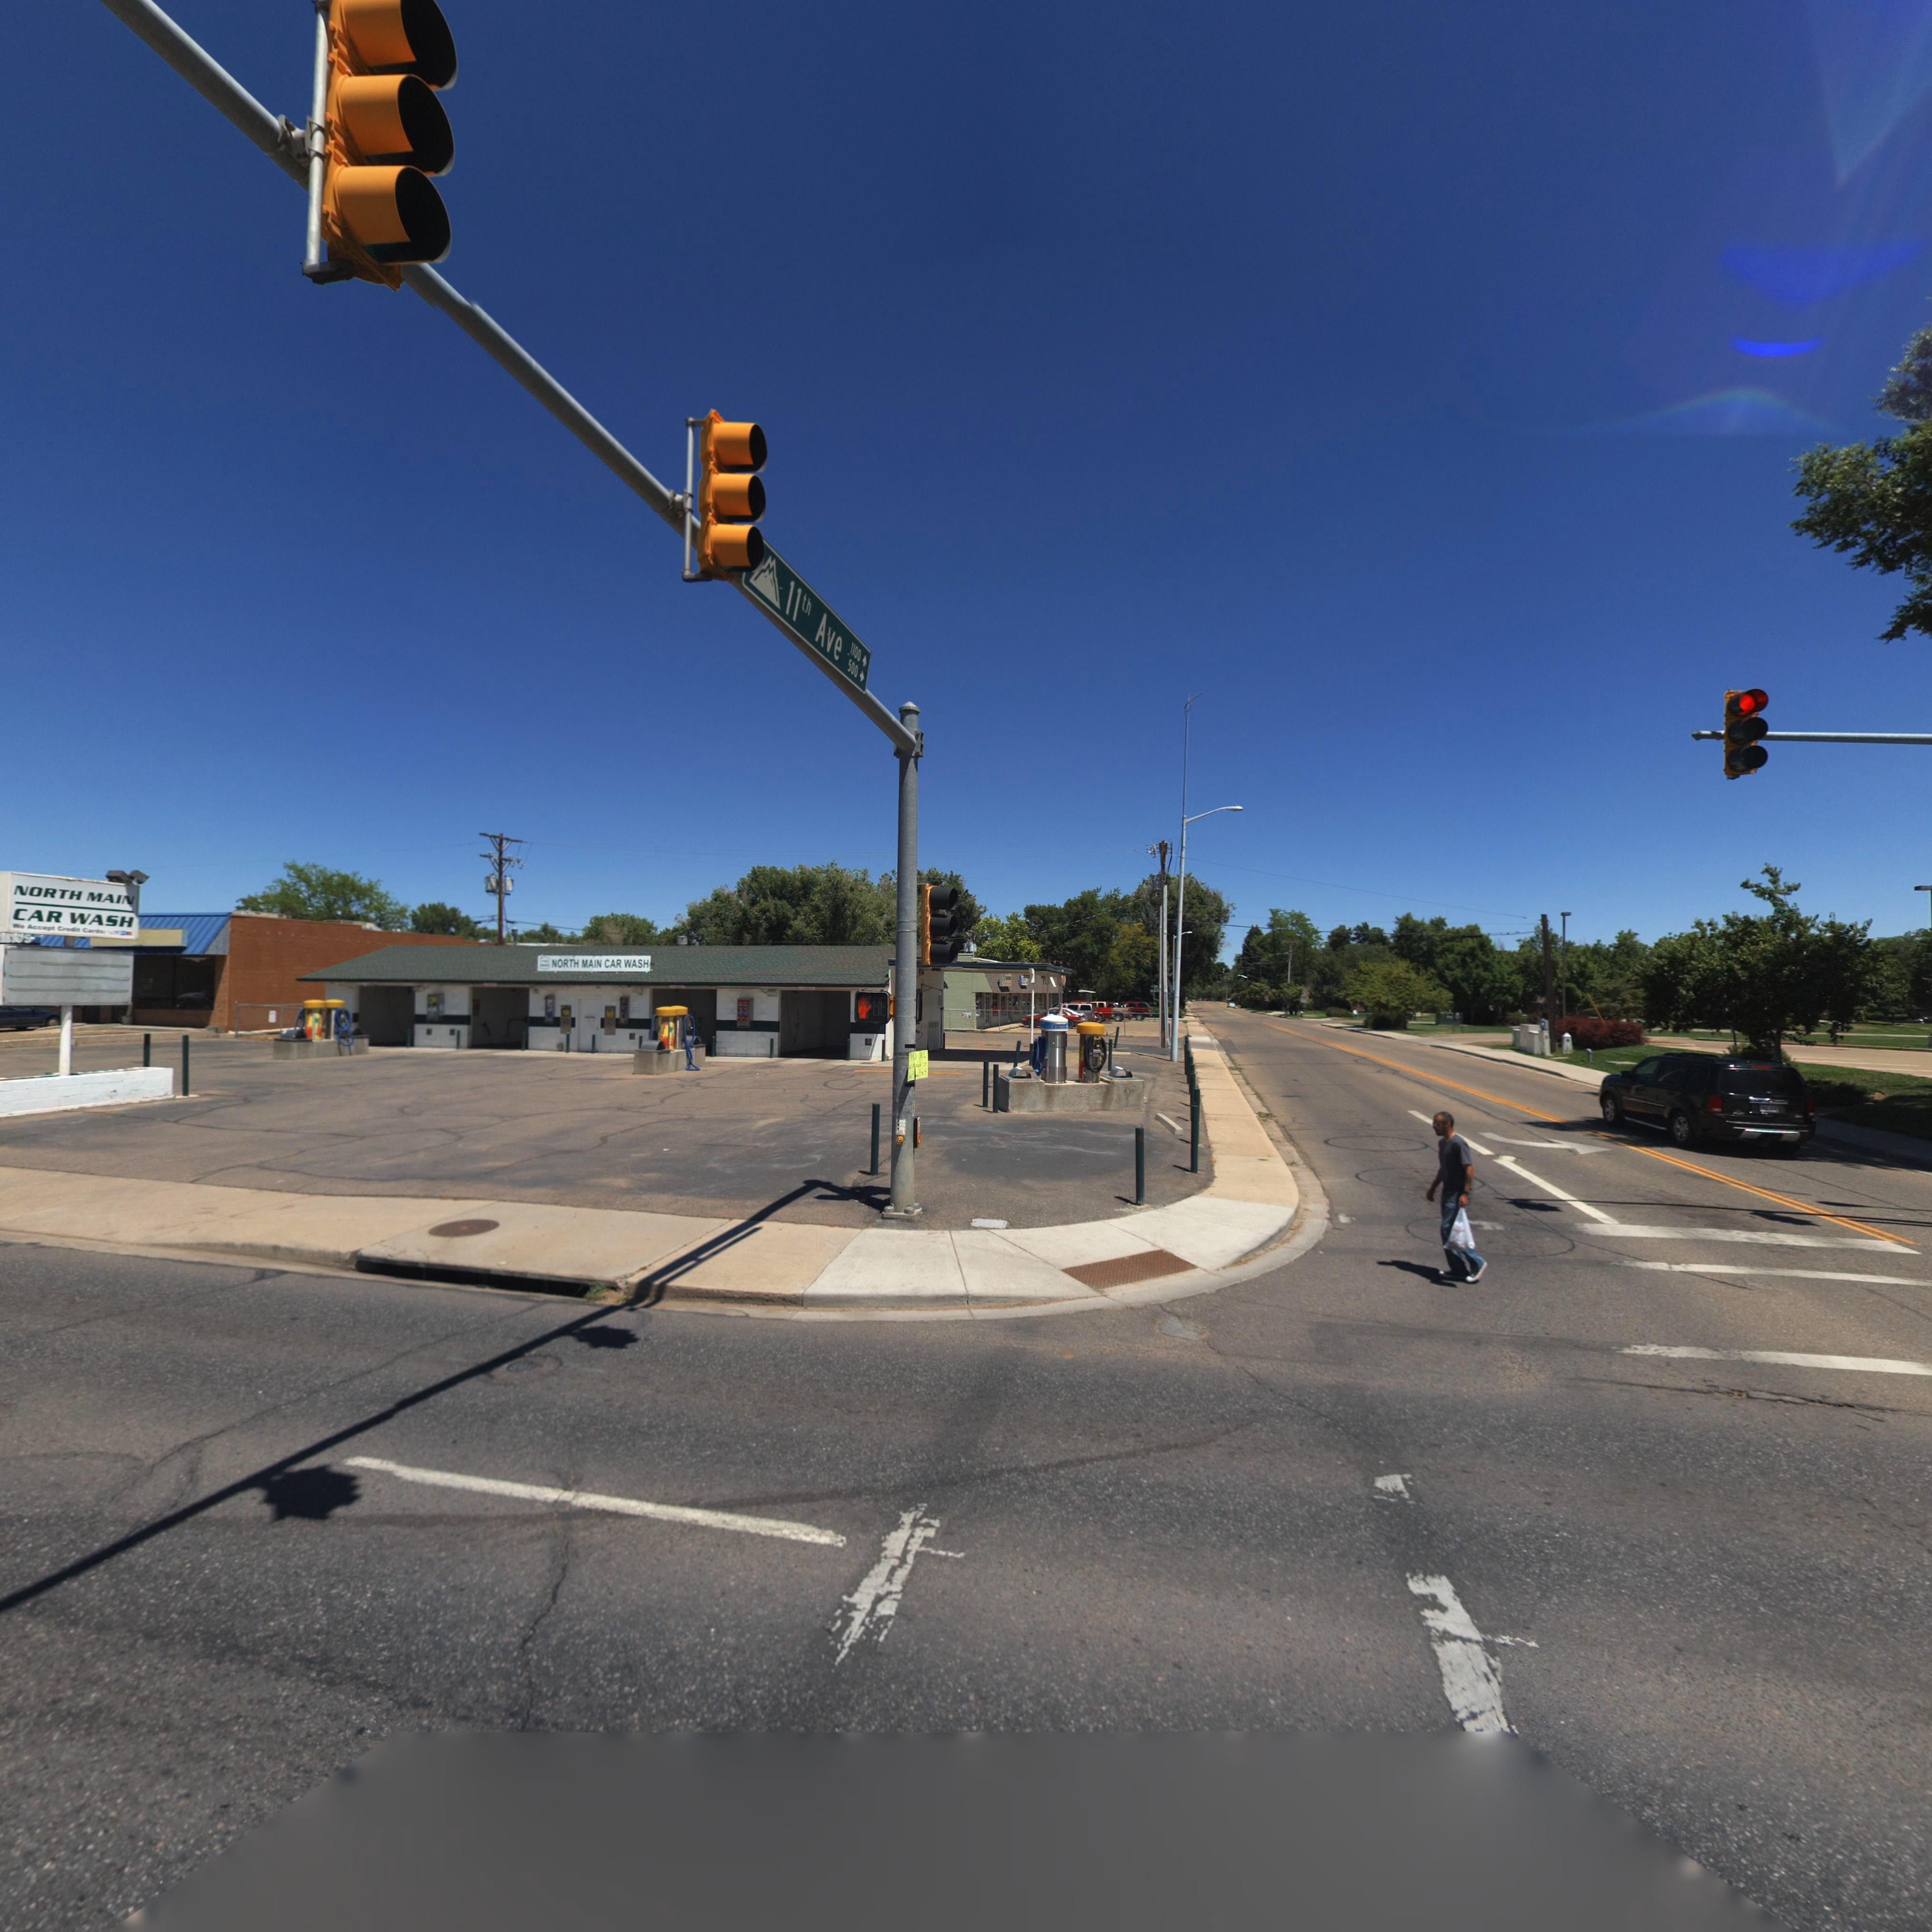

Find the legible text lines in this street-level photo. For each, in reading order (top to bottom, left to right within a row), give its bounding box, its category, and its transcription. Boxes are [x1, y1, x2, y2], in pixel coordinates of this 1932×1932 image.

[783, 578, 843, 661] StreetName: 11th Ave
[849, 640, 862, 663] StreetNumberRange: 1100
[846, 657, 865, 683] StreetNumberRange: 500->
[12, 883, 136, 905] BusinessName: NORTH MAIN
[12, 907, 135, 927] BusinessName: CAR WASH
[551, 958, 649, 968] BusinessName: NORTH MAIN CAR WASH